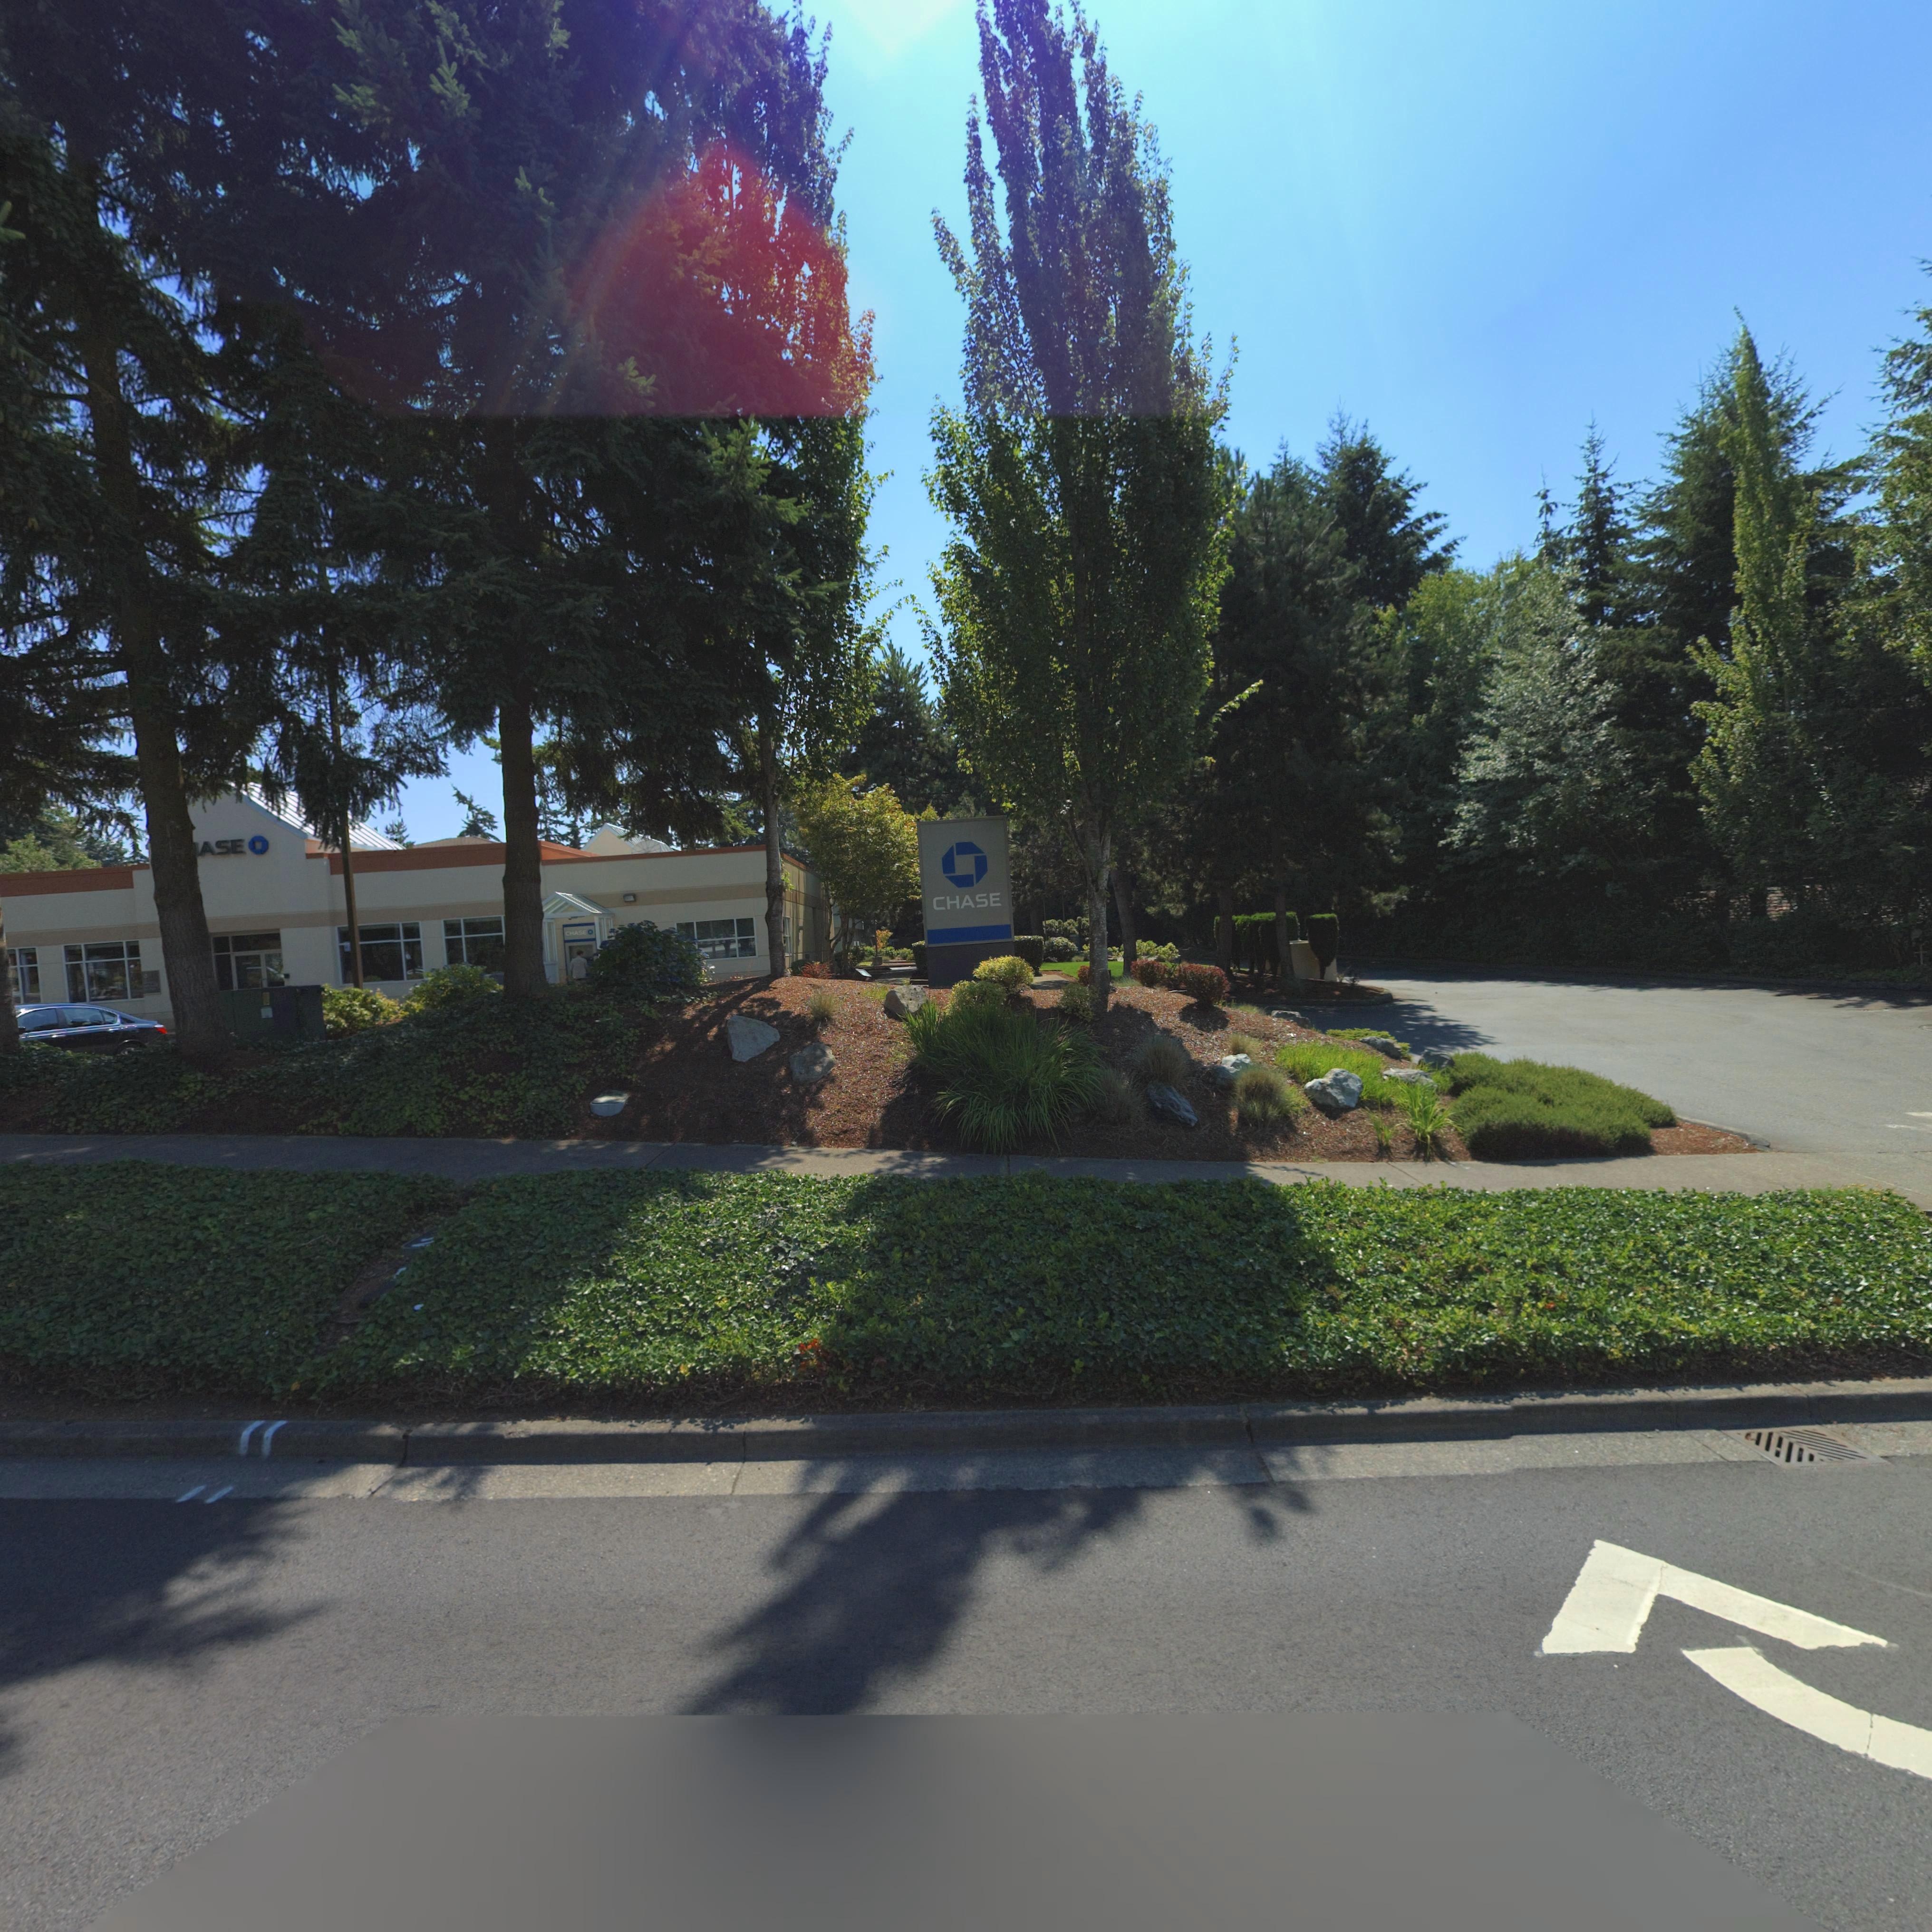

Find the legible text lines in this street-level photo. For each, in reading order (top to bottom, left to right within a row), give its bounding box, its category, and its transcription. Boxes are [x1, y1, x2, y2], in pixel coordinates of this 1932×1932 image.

[198, 839, 247, 857] BusinessName: ASE
[933, 892, 1001, 910] BusinessName: CHASE
[565, 930, 587, 936] BusinessName: CHASE